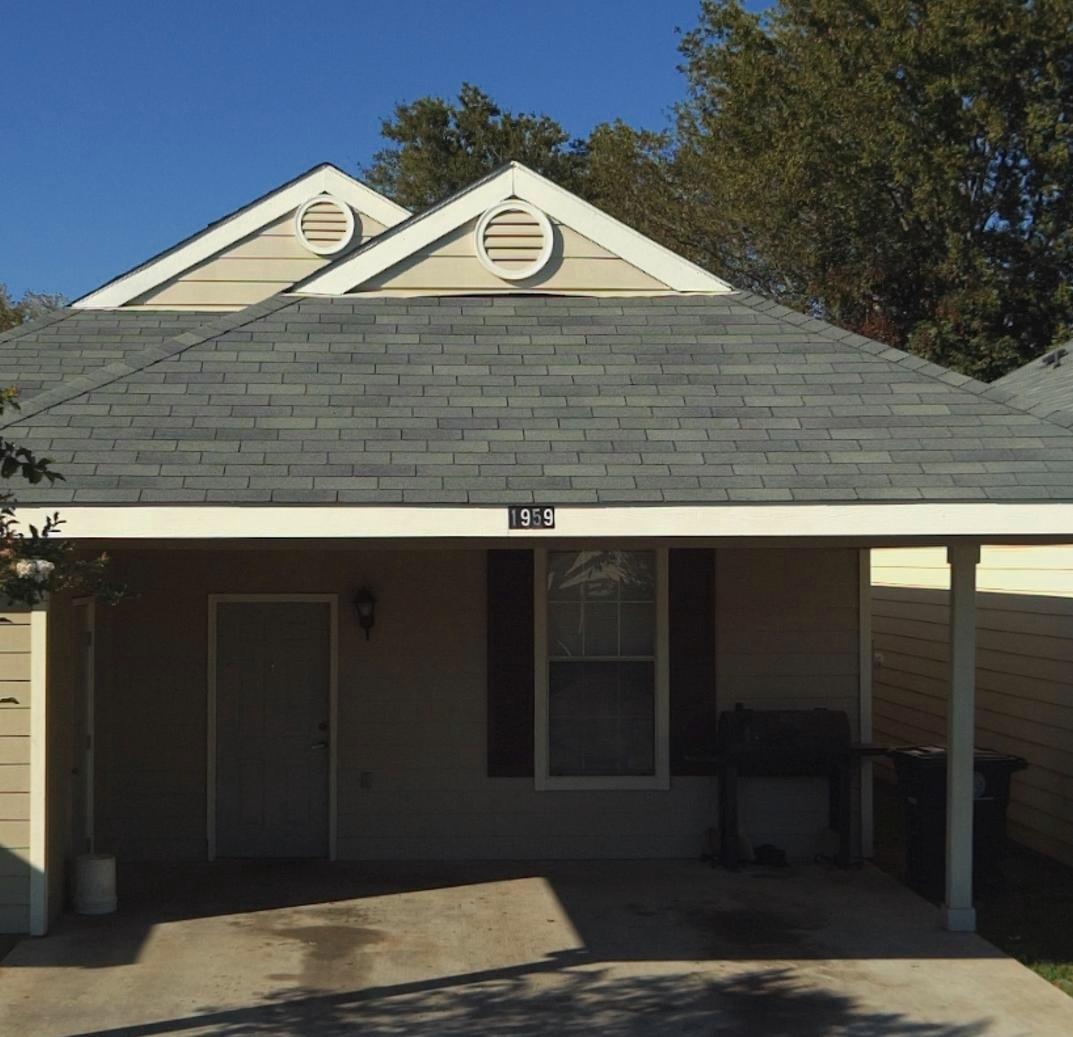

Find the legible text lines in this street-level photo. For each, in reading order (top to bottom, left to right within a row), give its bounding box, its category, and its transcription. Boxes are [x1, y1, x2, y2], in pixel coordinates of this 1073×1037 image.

[510, 507, 554, 528] StreetNumber: 1959